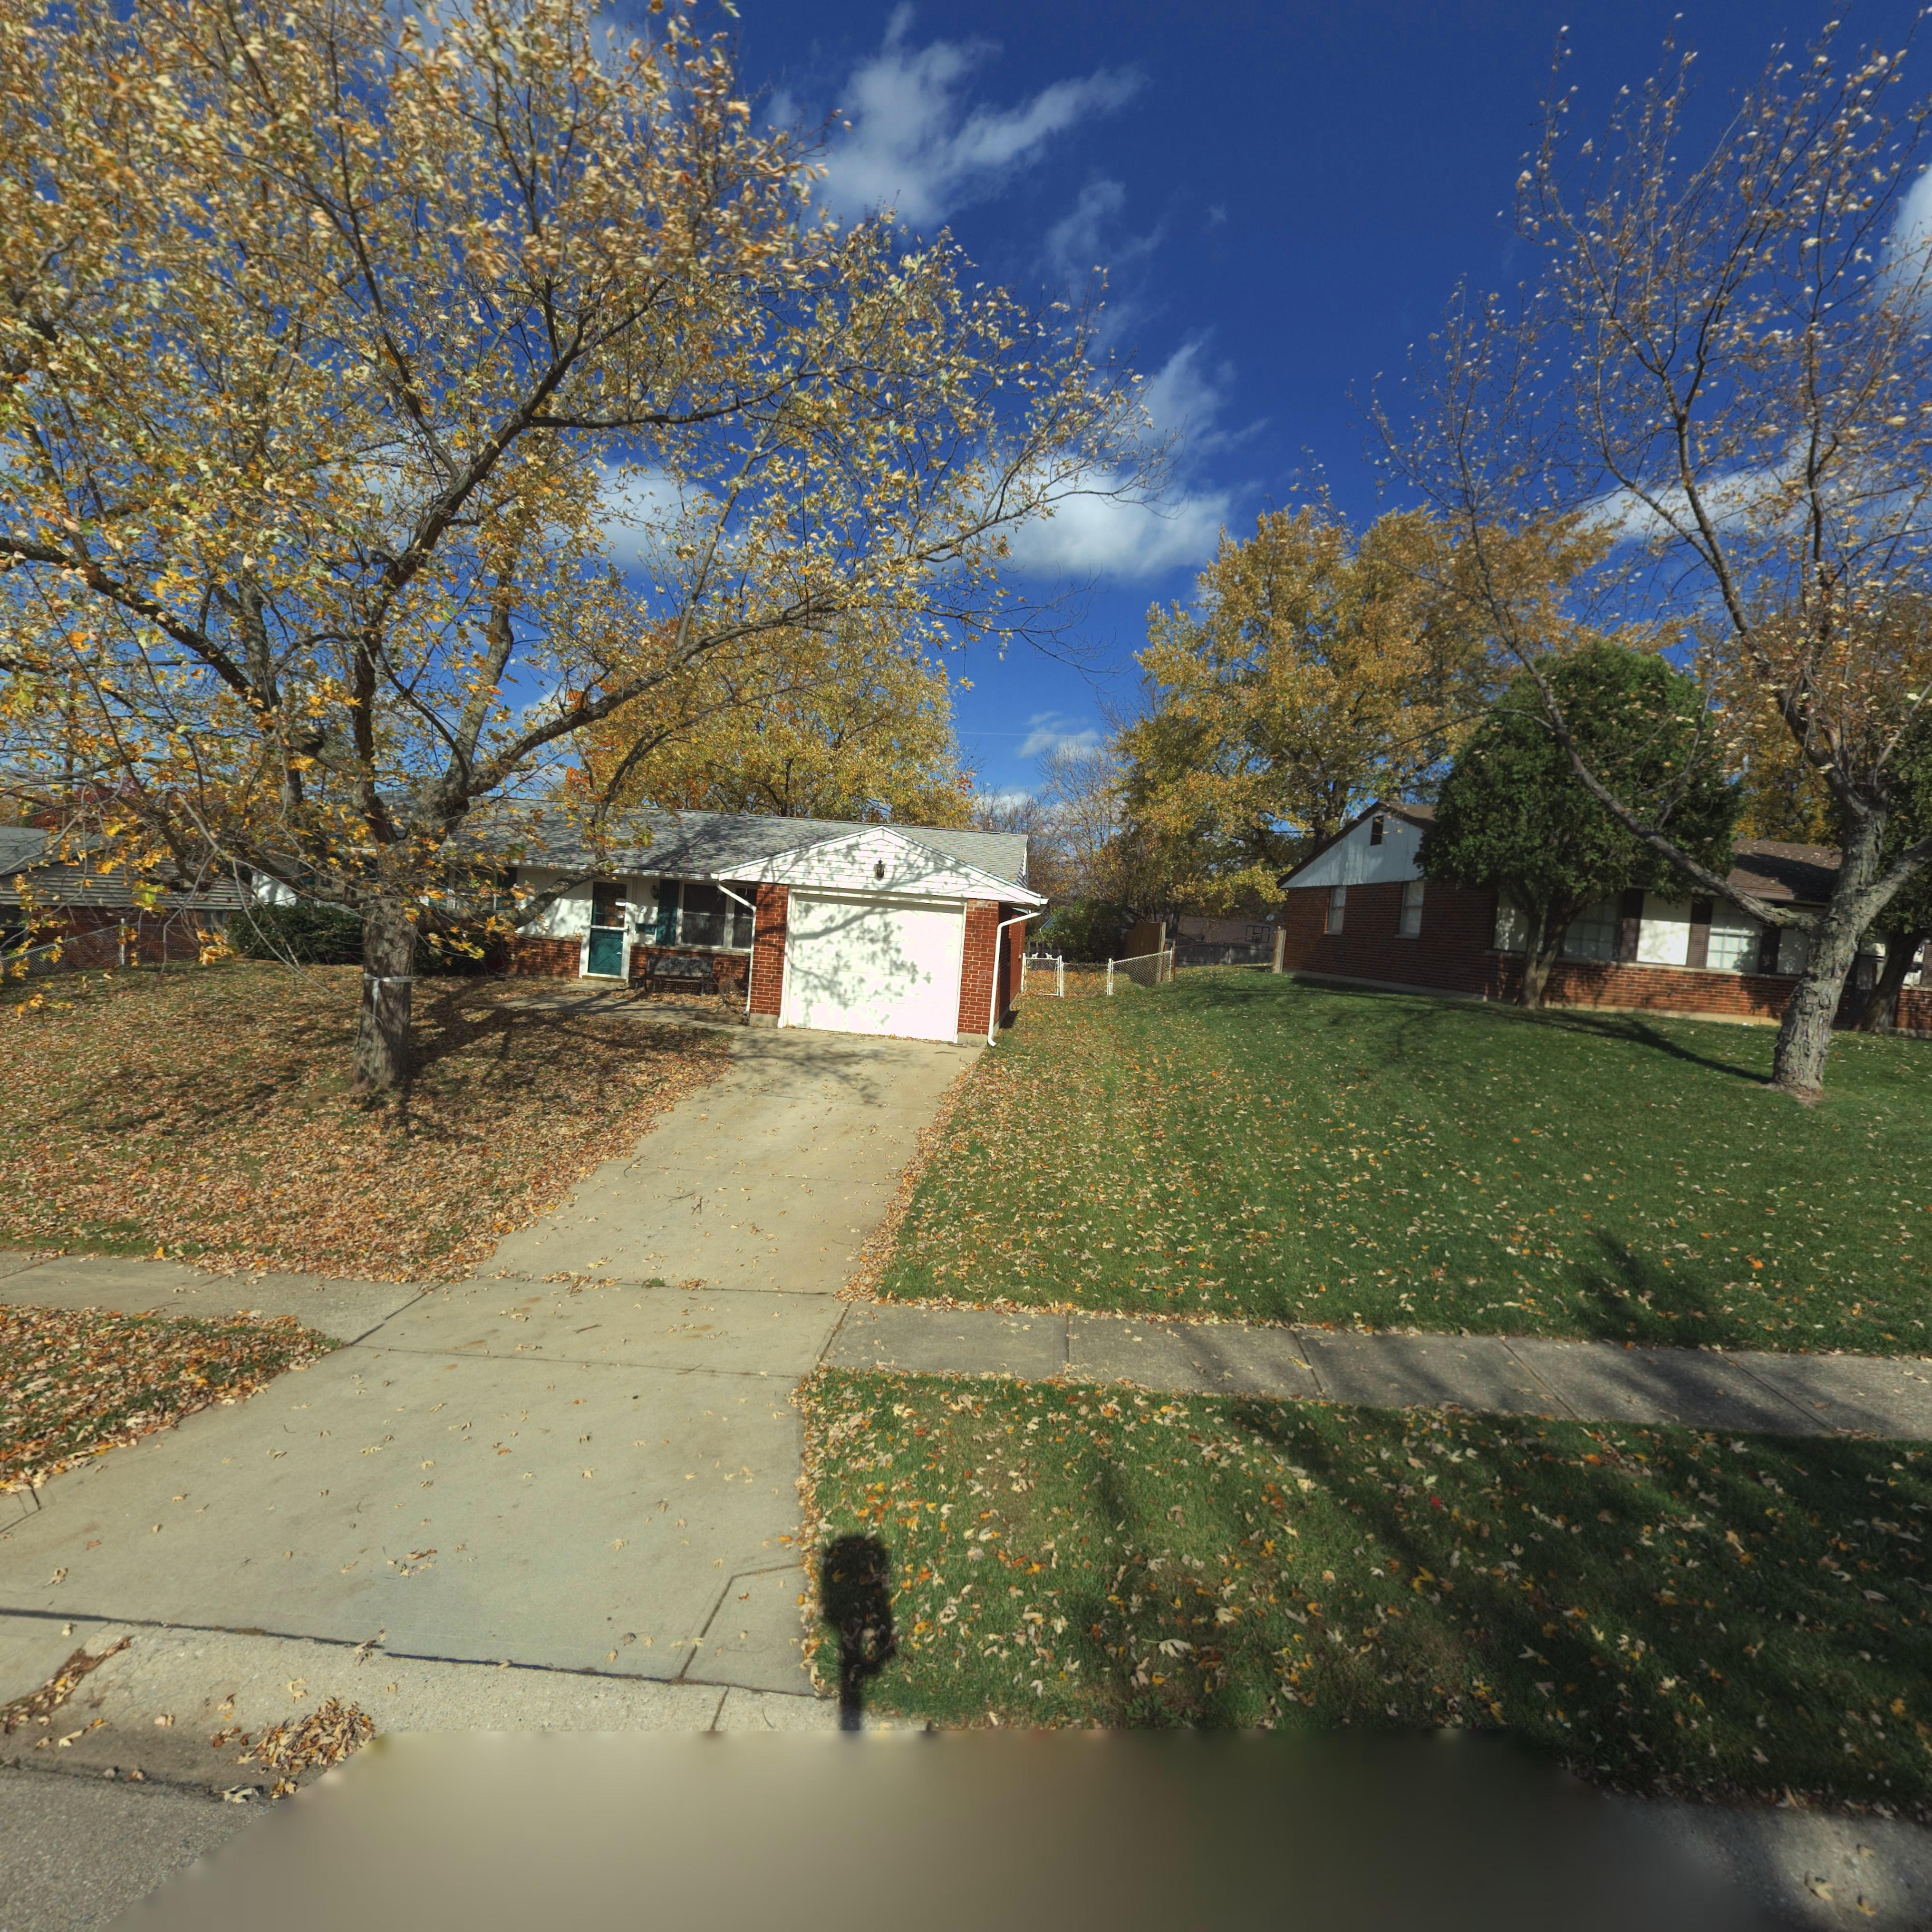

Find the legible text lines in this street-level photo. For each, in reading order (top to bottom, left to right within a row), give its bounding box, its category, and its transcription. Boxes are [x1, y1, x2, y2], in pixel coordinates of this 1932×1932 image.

[635, 905, 653, 917] StreetNumber: 7613